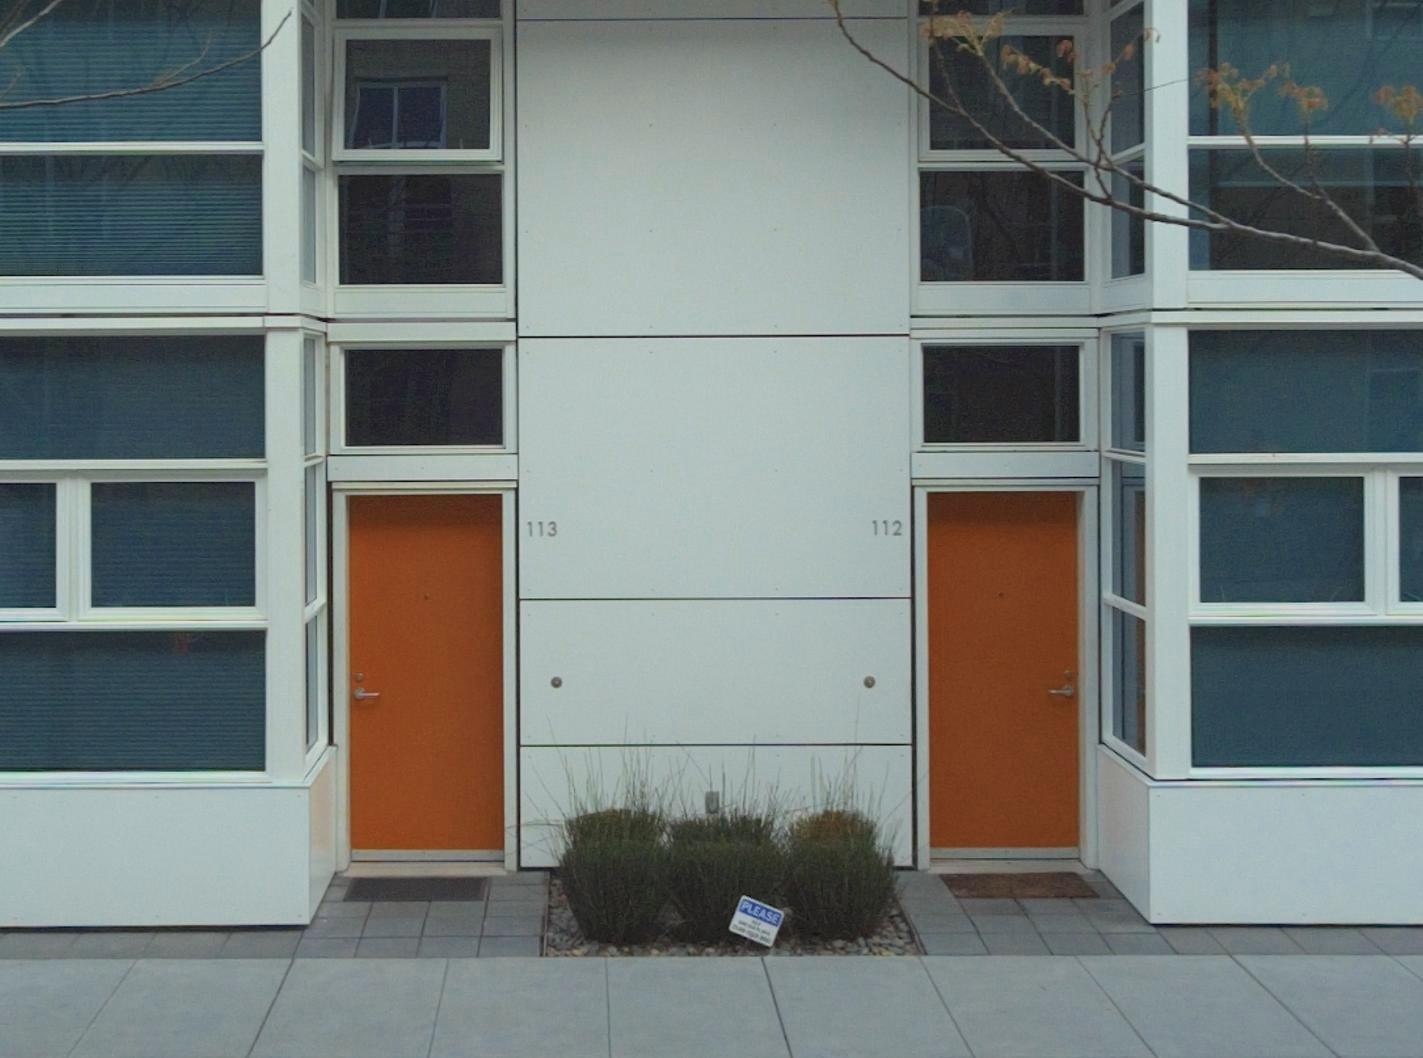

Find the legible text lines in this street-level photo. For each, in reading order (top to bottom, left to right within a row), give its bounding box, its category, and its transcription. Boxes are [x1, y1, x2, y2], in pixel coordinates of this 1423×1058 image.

[524, 518, 560, 540] StreetNumber: 113
[869, 517, 906, 539] StreetNumber: 112
[737, 897, 782, 926] None: PLEASE